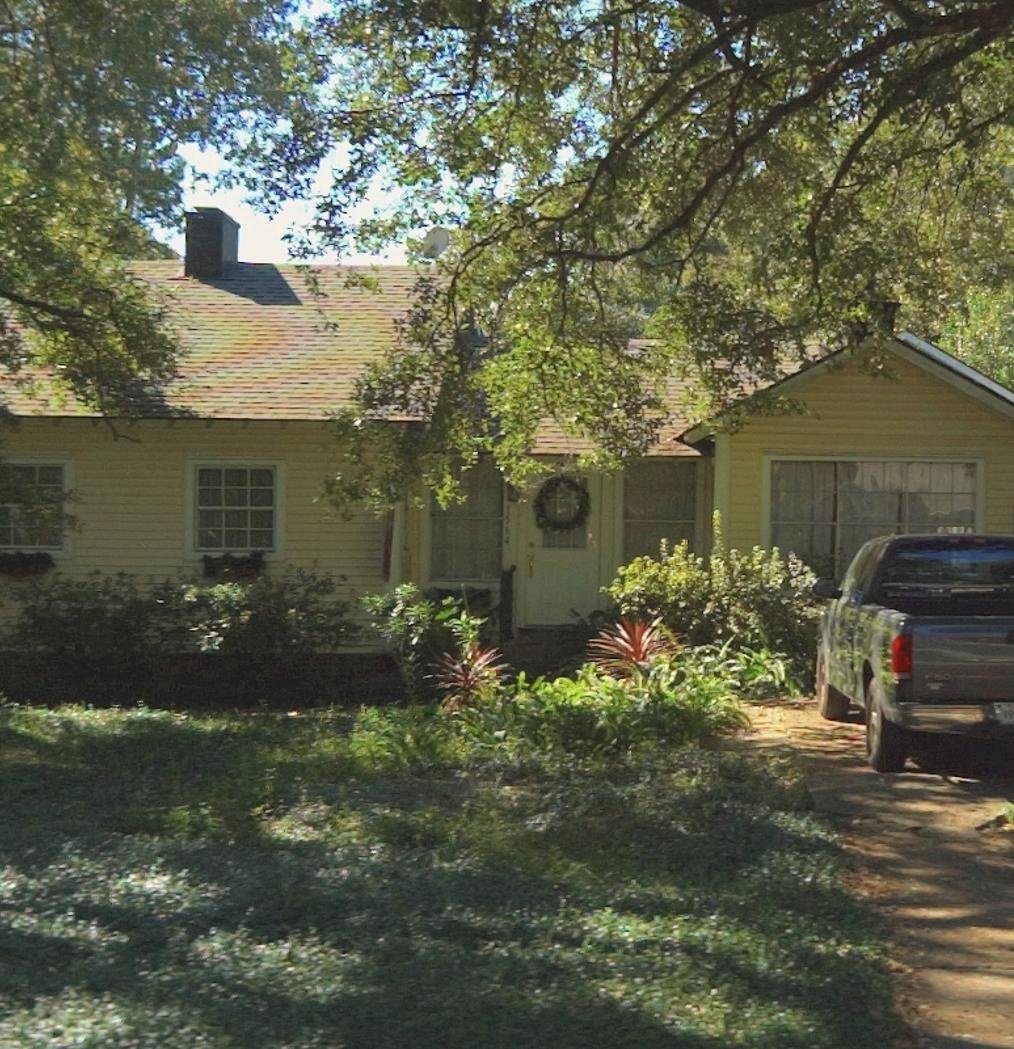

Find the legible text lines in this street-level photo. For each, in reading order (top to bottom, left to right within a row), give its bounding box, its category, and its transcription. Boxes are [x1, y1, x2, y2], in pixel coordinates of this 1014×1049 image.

[503, 503, 512, 546] StreetNumber: 1564